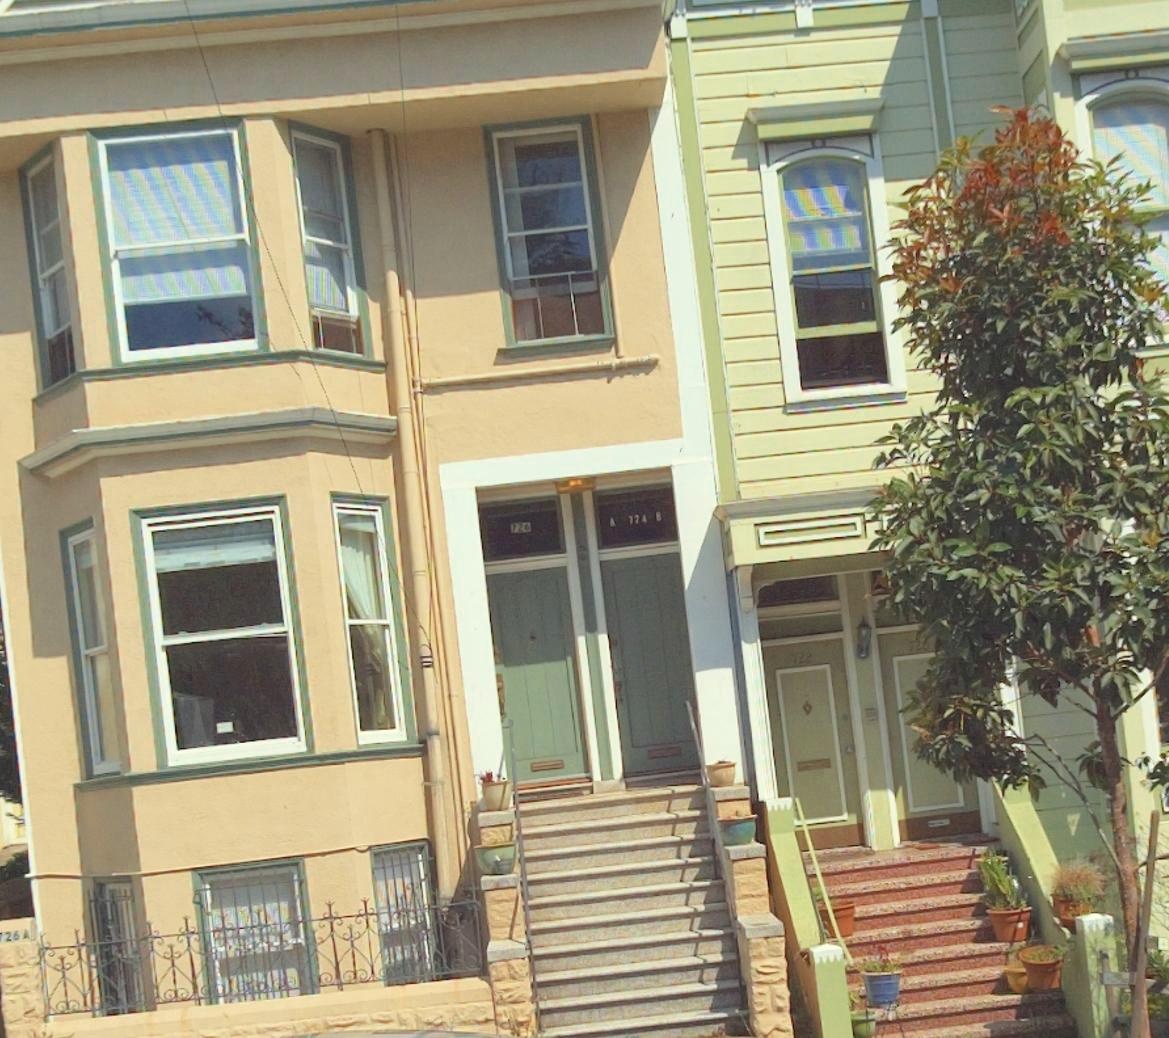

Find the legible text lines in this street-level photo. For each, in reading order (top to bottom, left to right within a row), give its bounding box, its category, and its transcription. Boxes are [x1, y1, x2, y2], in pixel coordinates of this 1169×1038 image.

[627, 510, 665, 527] StreetNumber: 724 B
[510, 522, 531, 533] StreetNumber: 720
[792, 651, 814, 665] StreetNumber: 722
[5, 927, 32, 944] StreetNumber: 26 A